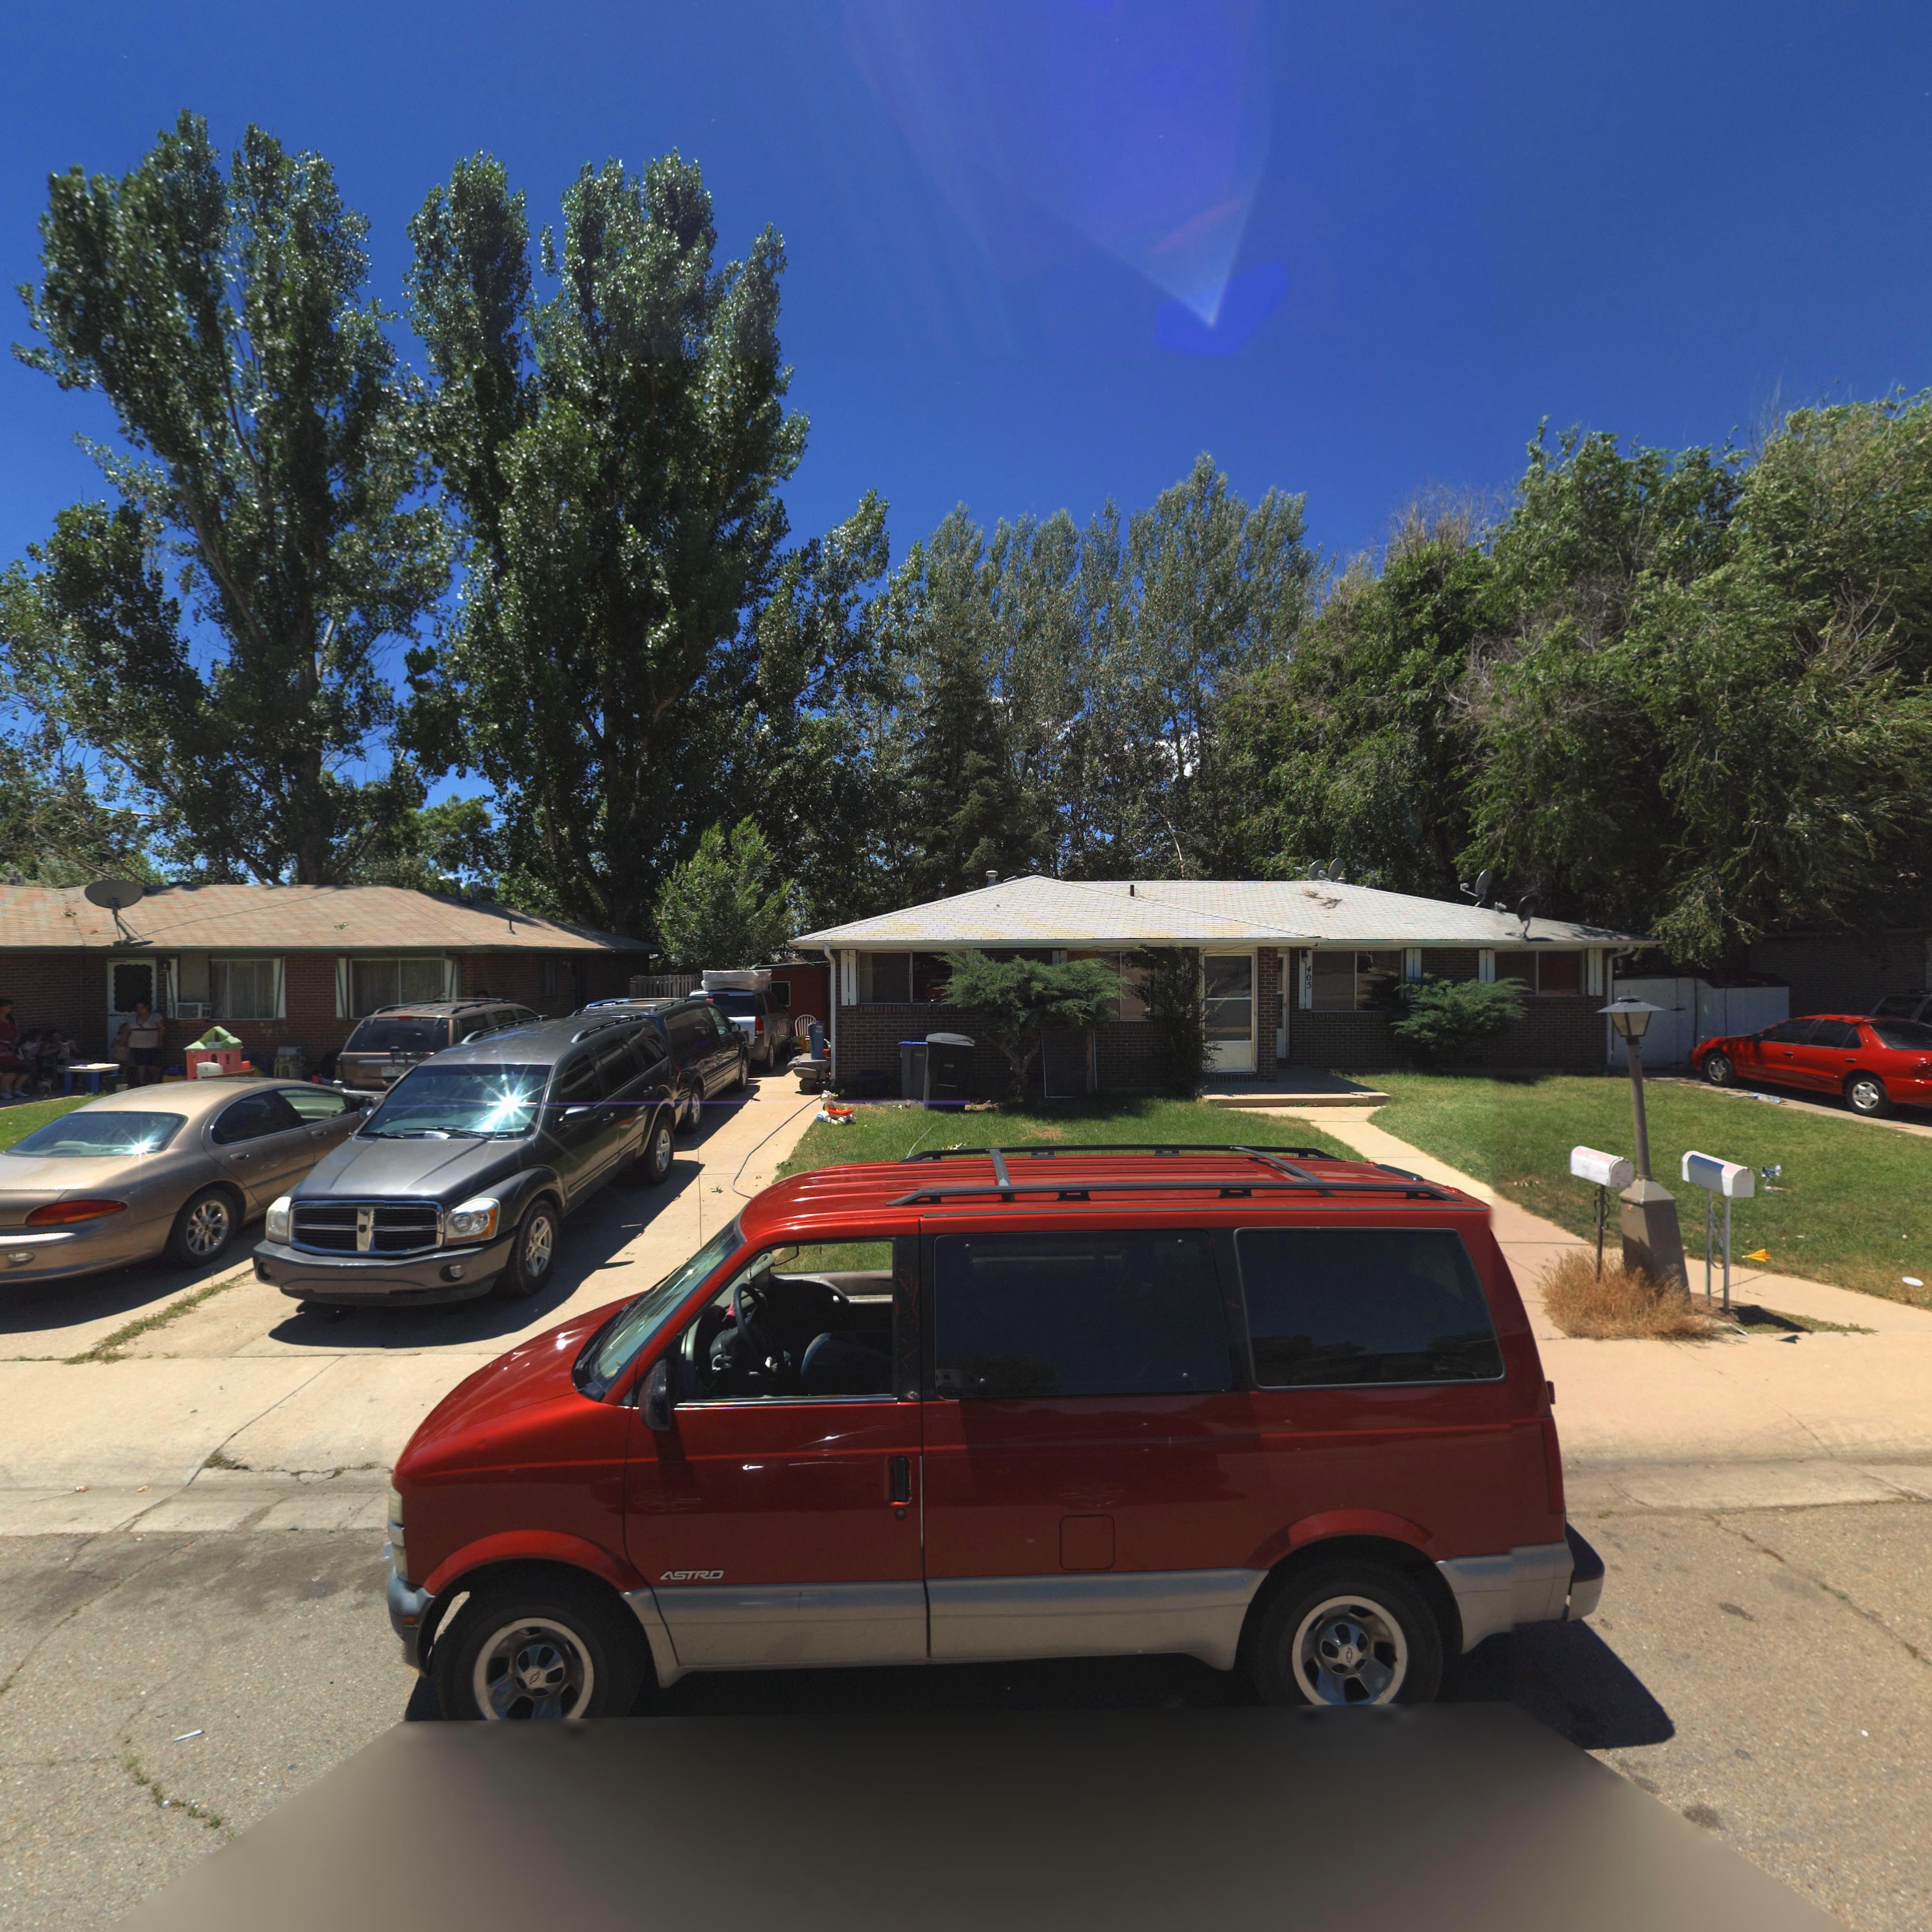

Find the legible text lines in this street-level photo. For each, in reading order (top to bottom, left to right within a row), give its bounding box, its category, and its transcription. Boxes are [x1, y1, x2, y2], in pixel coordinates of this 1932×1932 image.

[1306, 965, 1312, 989] StreetNumber: 405
[166, 997, 172, 1016] StreetNumber: 3*7